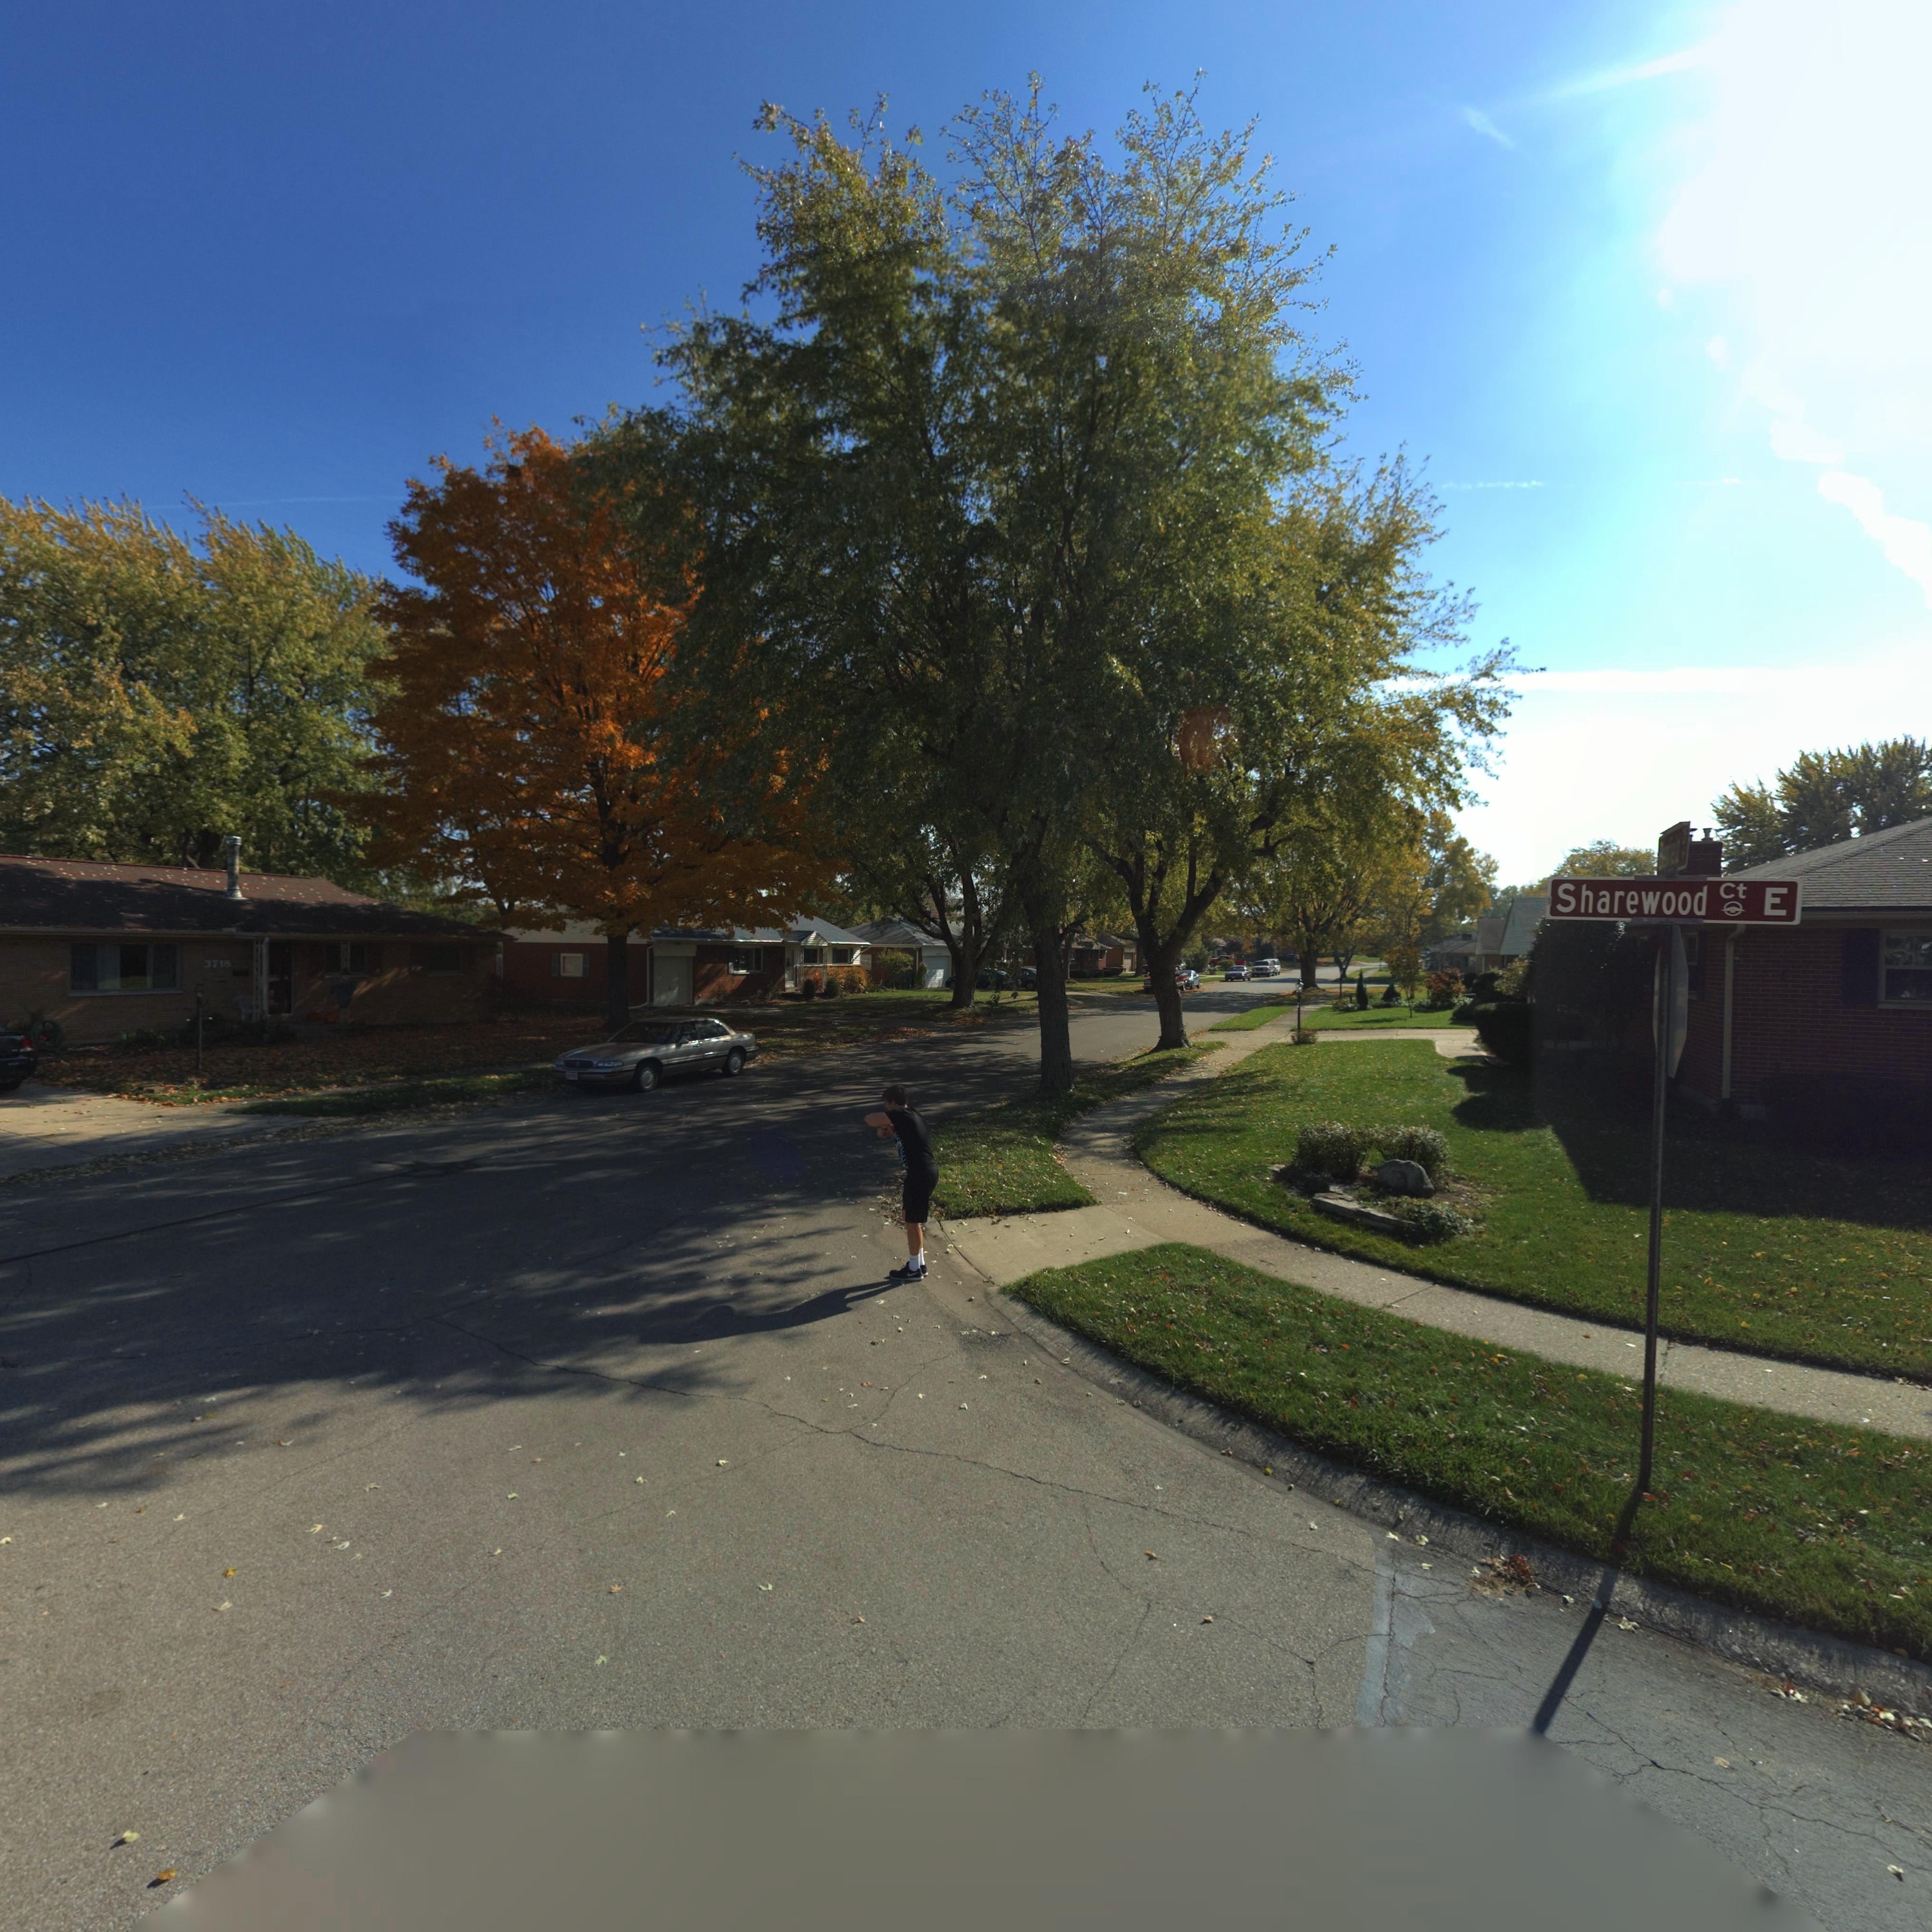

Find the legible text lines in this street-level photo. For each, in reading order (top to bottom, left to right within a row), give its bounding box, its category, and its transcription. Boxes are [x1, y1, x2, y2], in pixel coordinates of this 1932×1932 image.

[1554, 880, 1790, 918] StreetName: Sharewood Ct E
[203, 958, 233, 969] StreetNumber: 3718